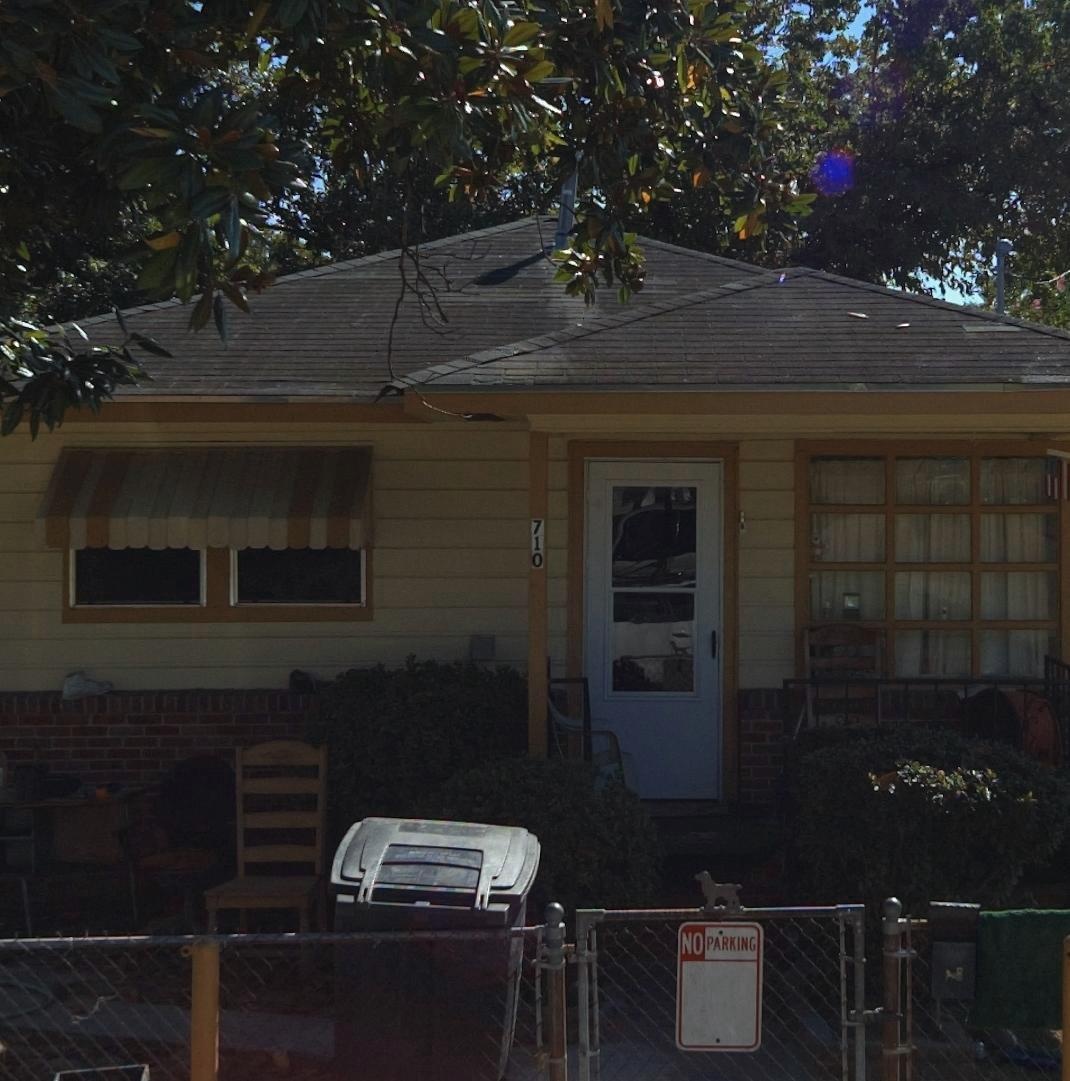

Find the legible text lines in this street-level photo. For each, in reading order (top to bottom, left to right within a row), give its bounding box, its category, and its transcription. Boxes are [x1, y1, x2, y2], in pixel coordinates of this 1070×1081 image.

[530, 517, 544, 569] StreetNumber: 710
[679, 929, 759, 957] None: NO PARKING